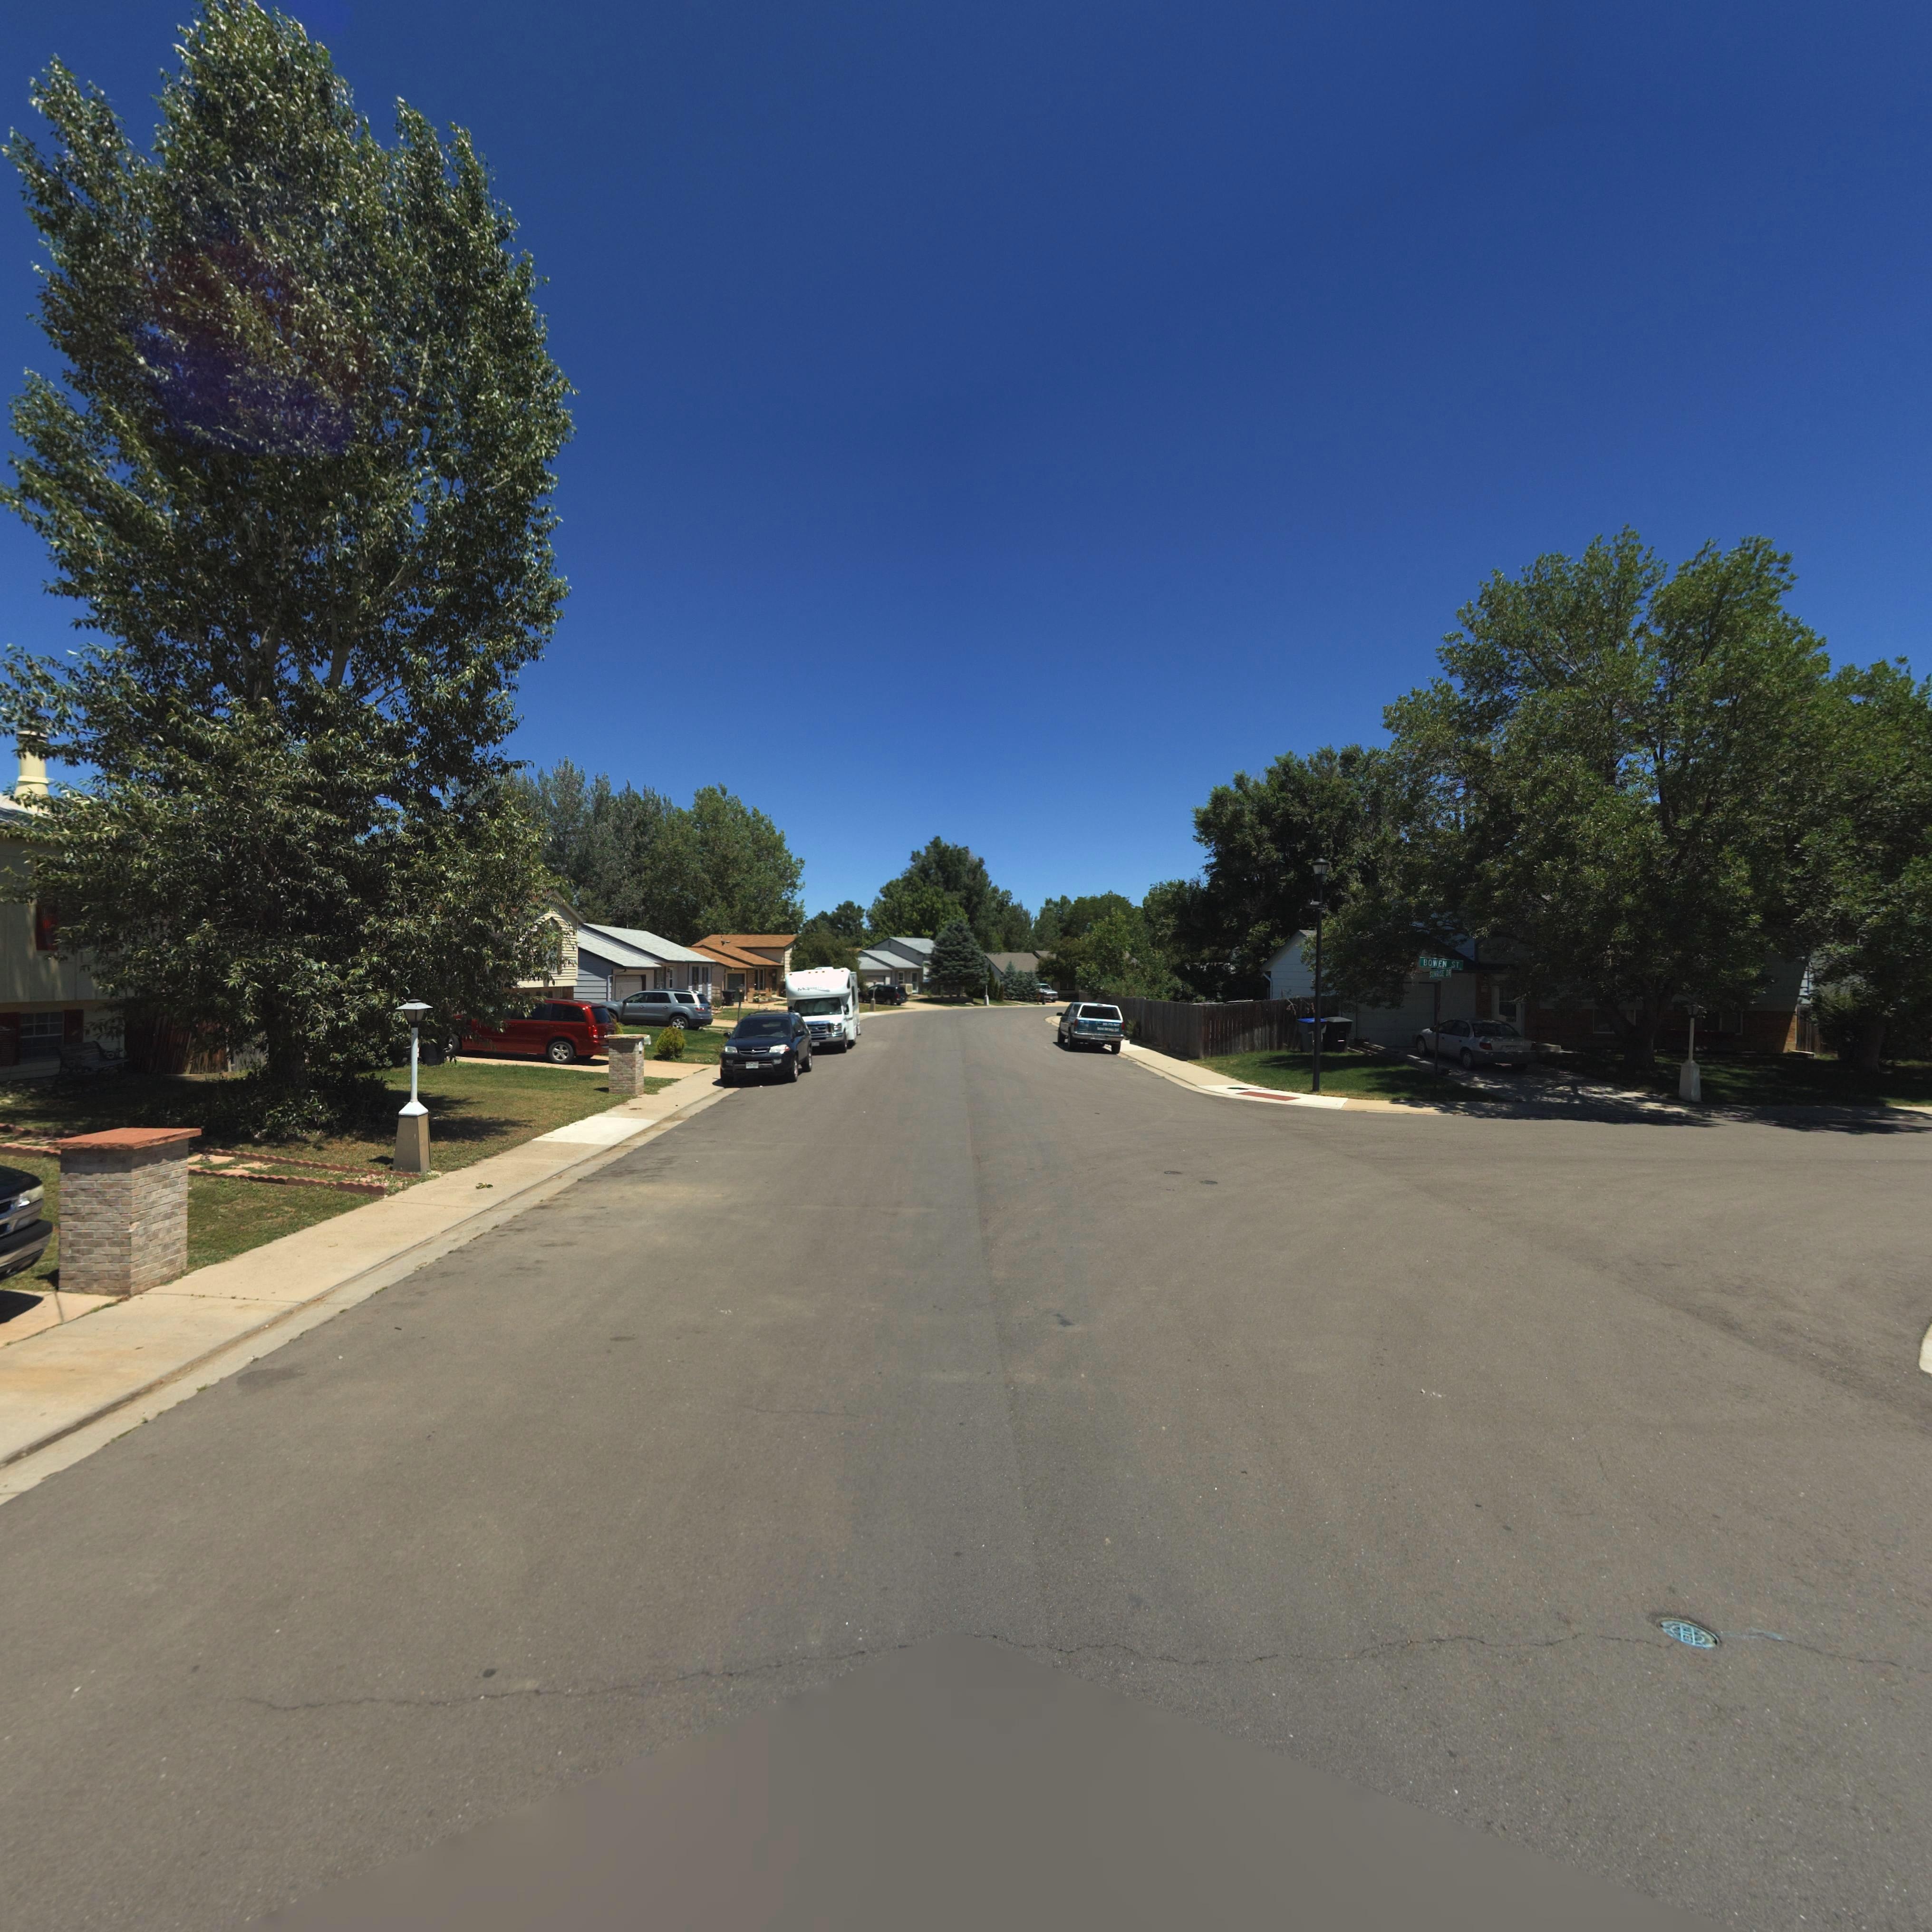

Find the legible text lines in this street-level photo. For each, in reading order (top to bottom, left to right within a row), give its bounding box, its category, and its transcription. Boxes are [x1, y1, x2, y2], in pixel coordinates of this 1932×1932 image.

[1423, 958, 1459, 968] StreetName: BOWEN ST
[1429, 969, 1450, 977] StreetName: SUNRISE DR